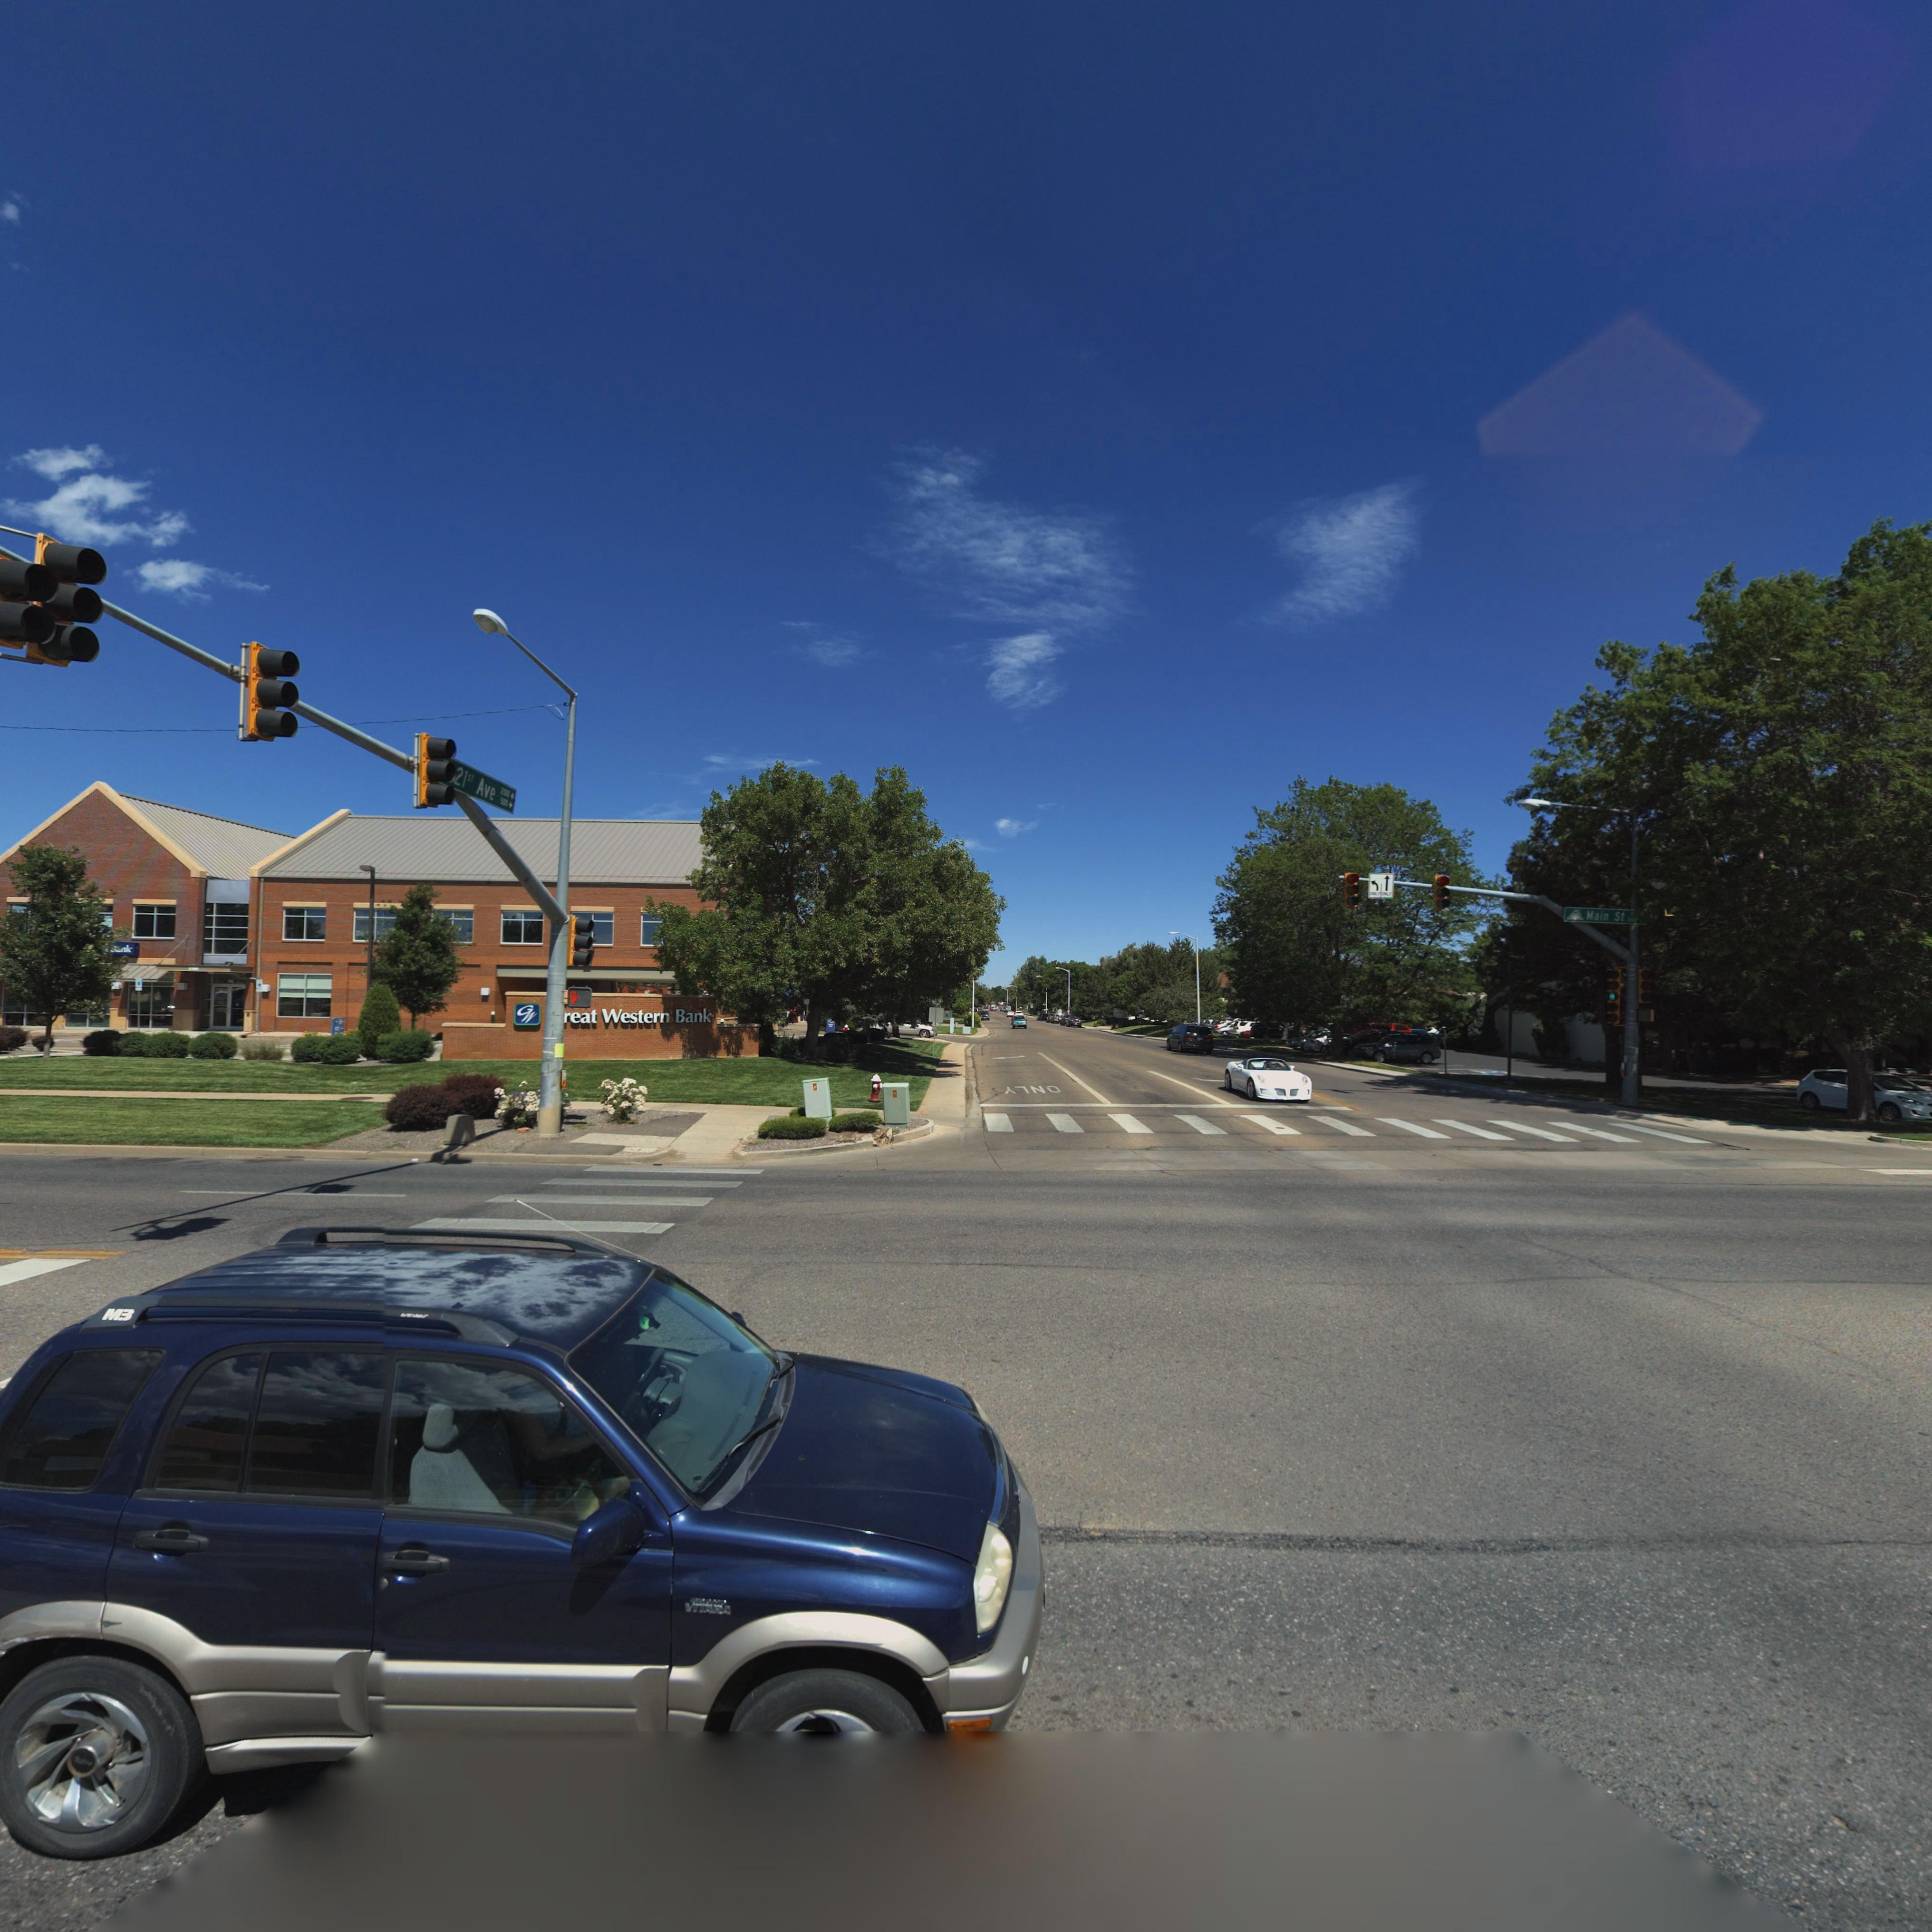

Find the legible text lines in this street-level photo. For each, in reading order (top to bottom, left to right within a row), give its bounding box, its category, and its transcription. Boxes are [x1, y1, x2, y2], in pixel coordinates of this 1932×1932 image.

[453, 766, 495, 801] StreetName: 21st Ave
[500, 787, 510, 798] StreetNumberRange: 2000
[499, 797, 513, 808] StreetNumberRange: 500 ->
[1585, 909, 1625, 922] StreetName: Main St
[1627, 917, 1637, 922] StreetNumberRange: 2000
[1631, 912, 1637, 917] StreetNumberRange: 5**
[121, 944, 133, 953] BusinessName: nk
[516, 1005, 533, 1016] BusinessName: G
[521, 1008, 537, 1024] BusinessName: W
[563, 1007, 712, 1024] BusinessName: reat Western Bank